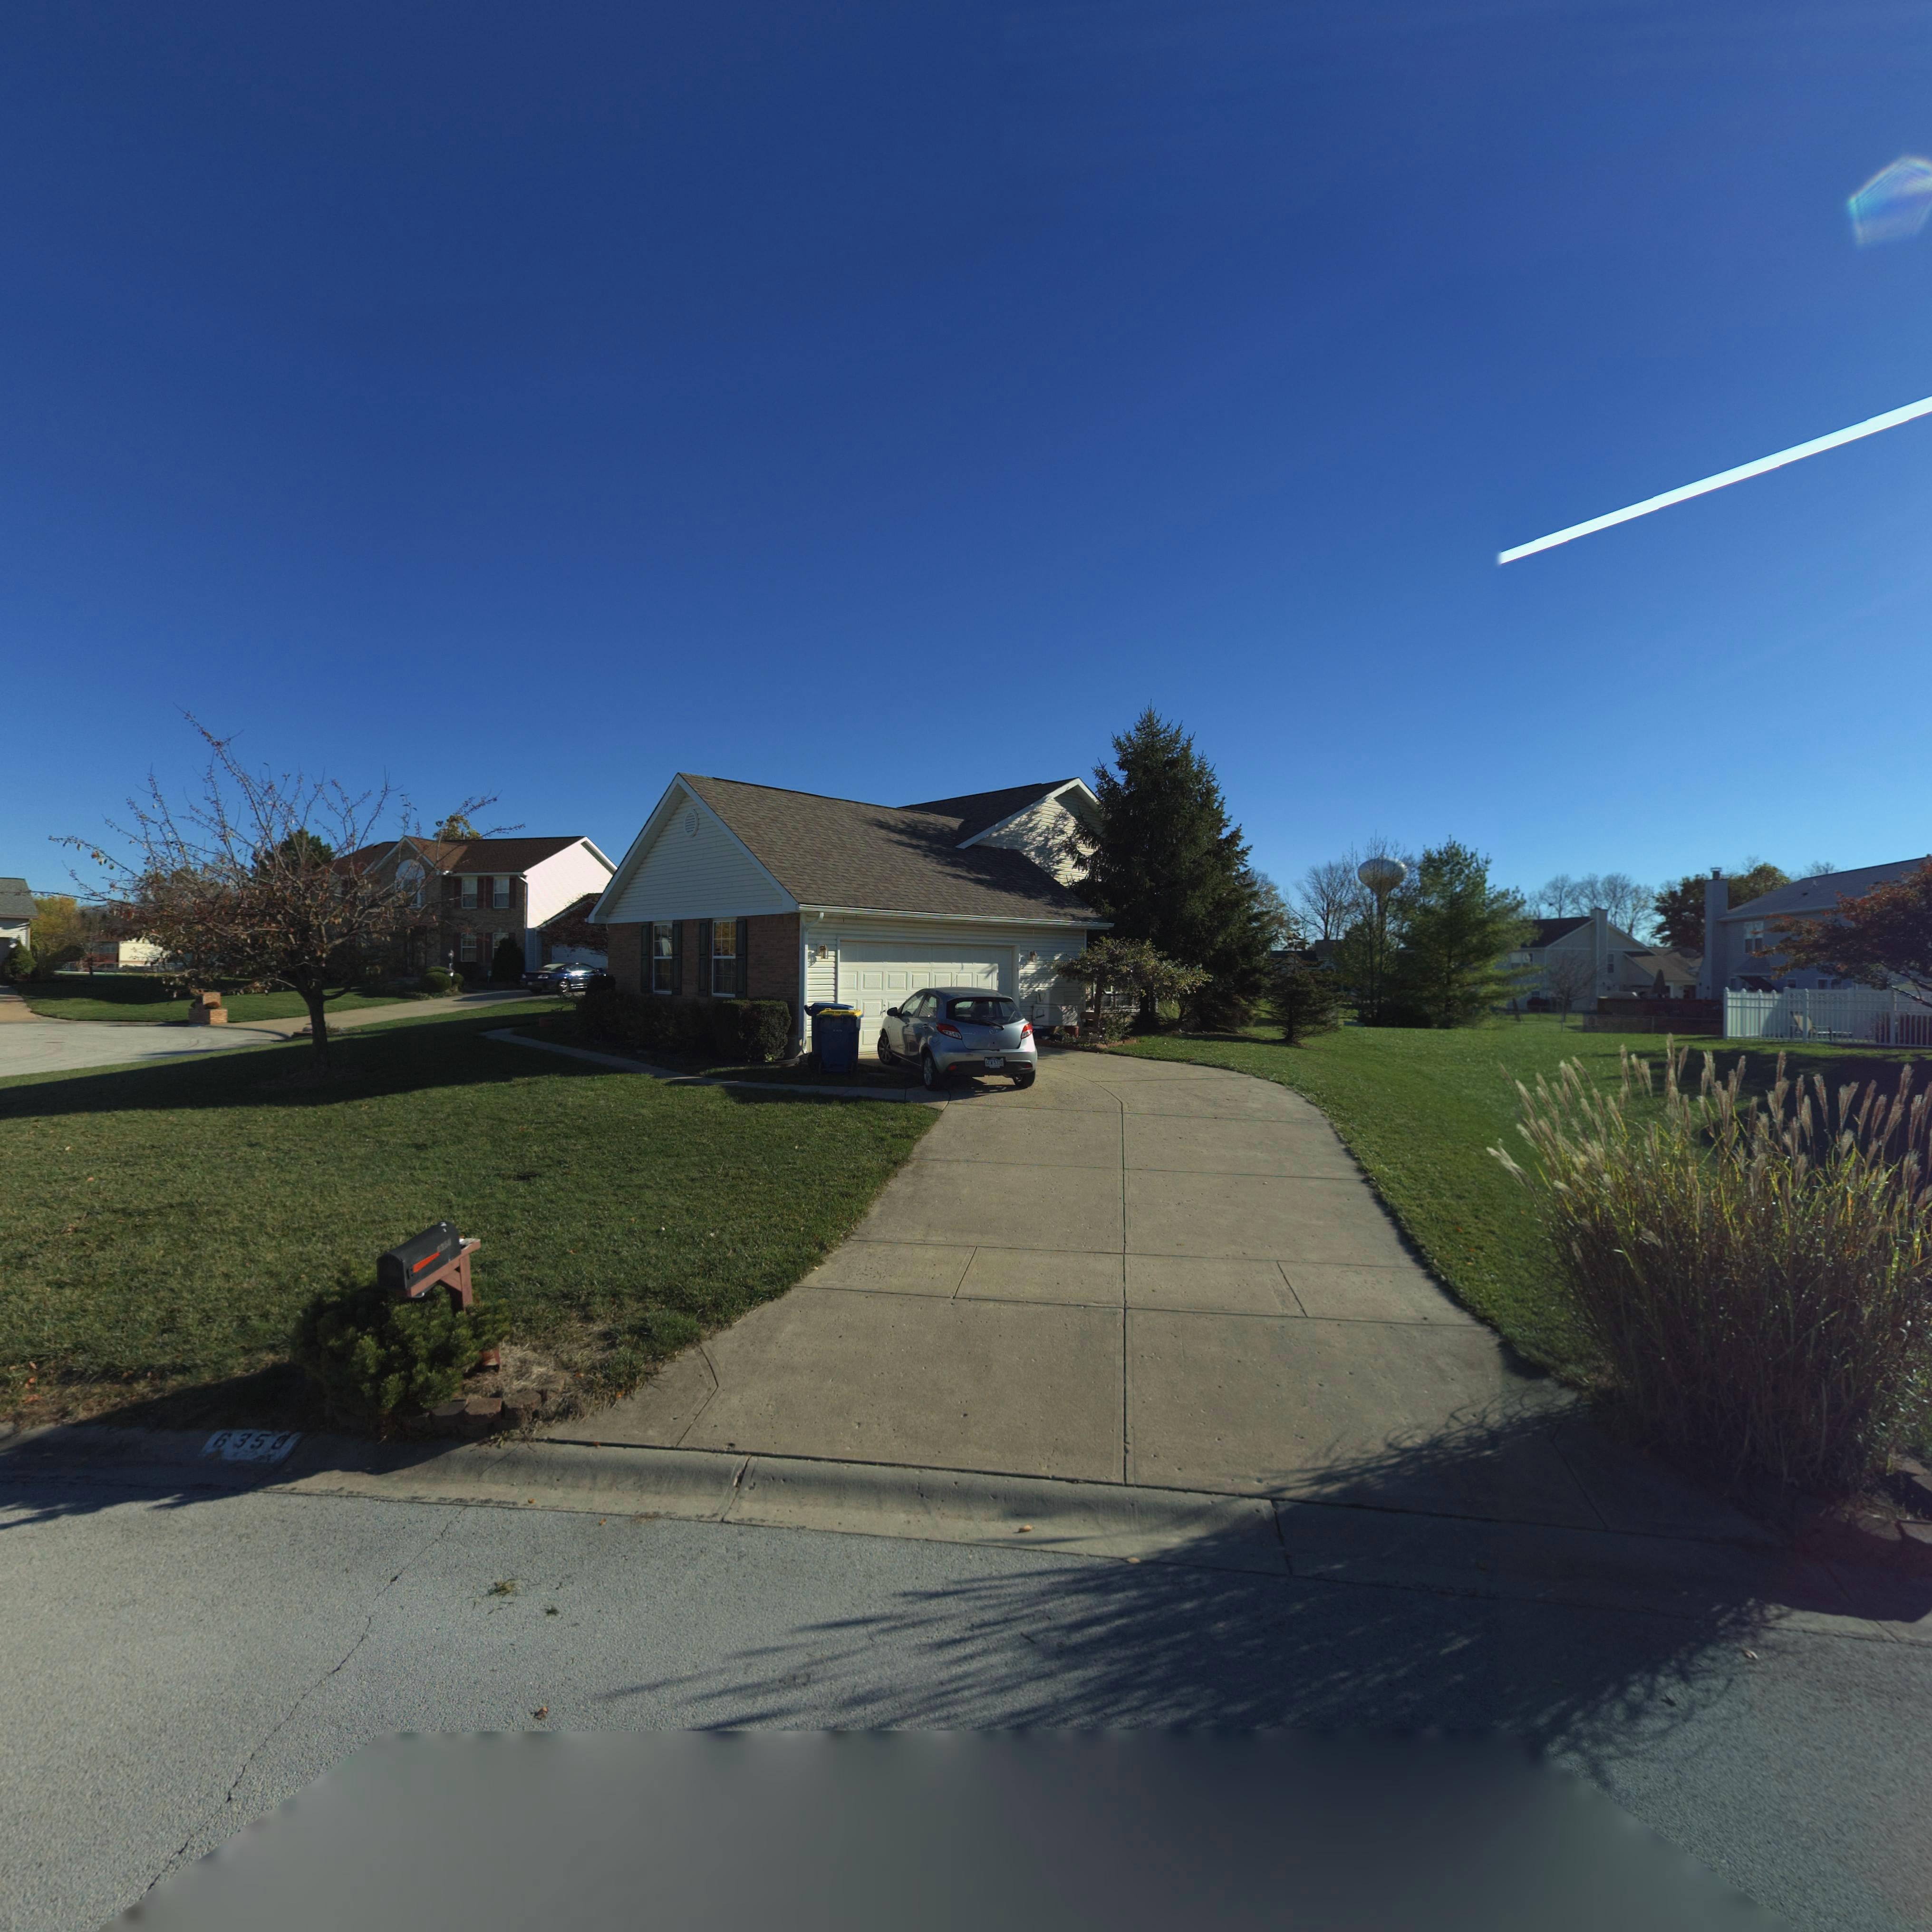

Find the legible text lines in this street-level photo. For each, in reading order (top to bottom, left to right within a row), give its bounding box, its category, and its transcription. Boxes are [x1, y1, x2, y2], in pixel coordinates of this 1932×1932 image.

[436, 1236, 452, 1255] StreetNumber: 6350
[209, 1431, 293, 1452] StreetNumber: 6350